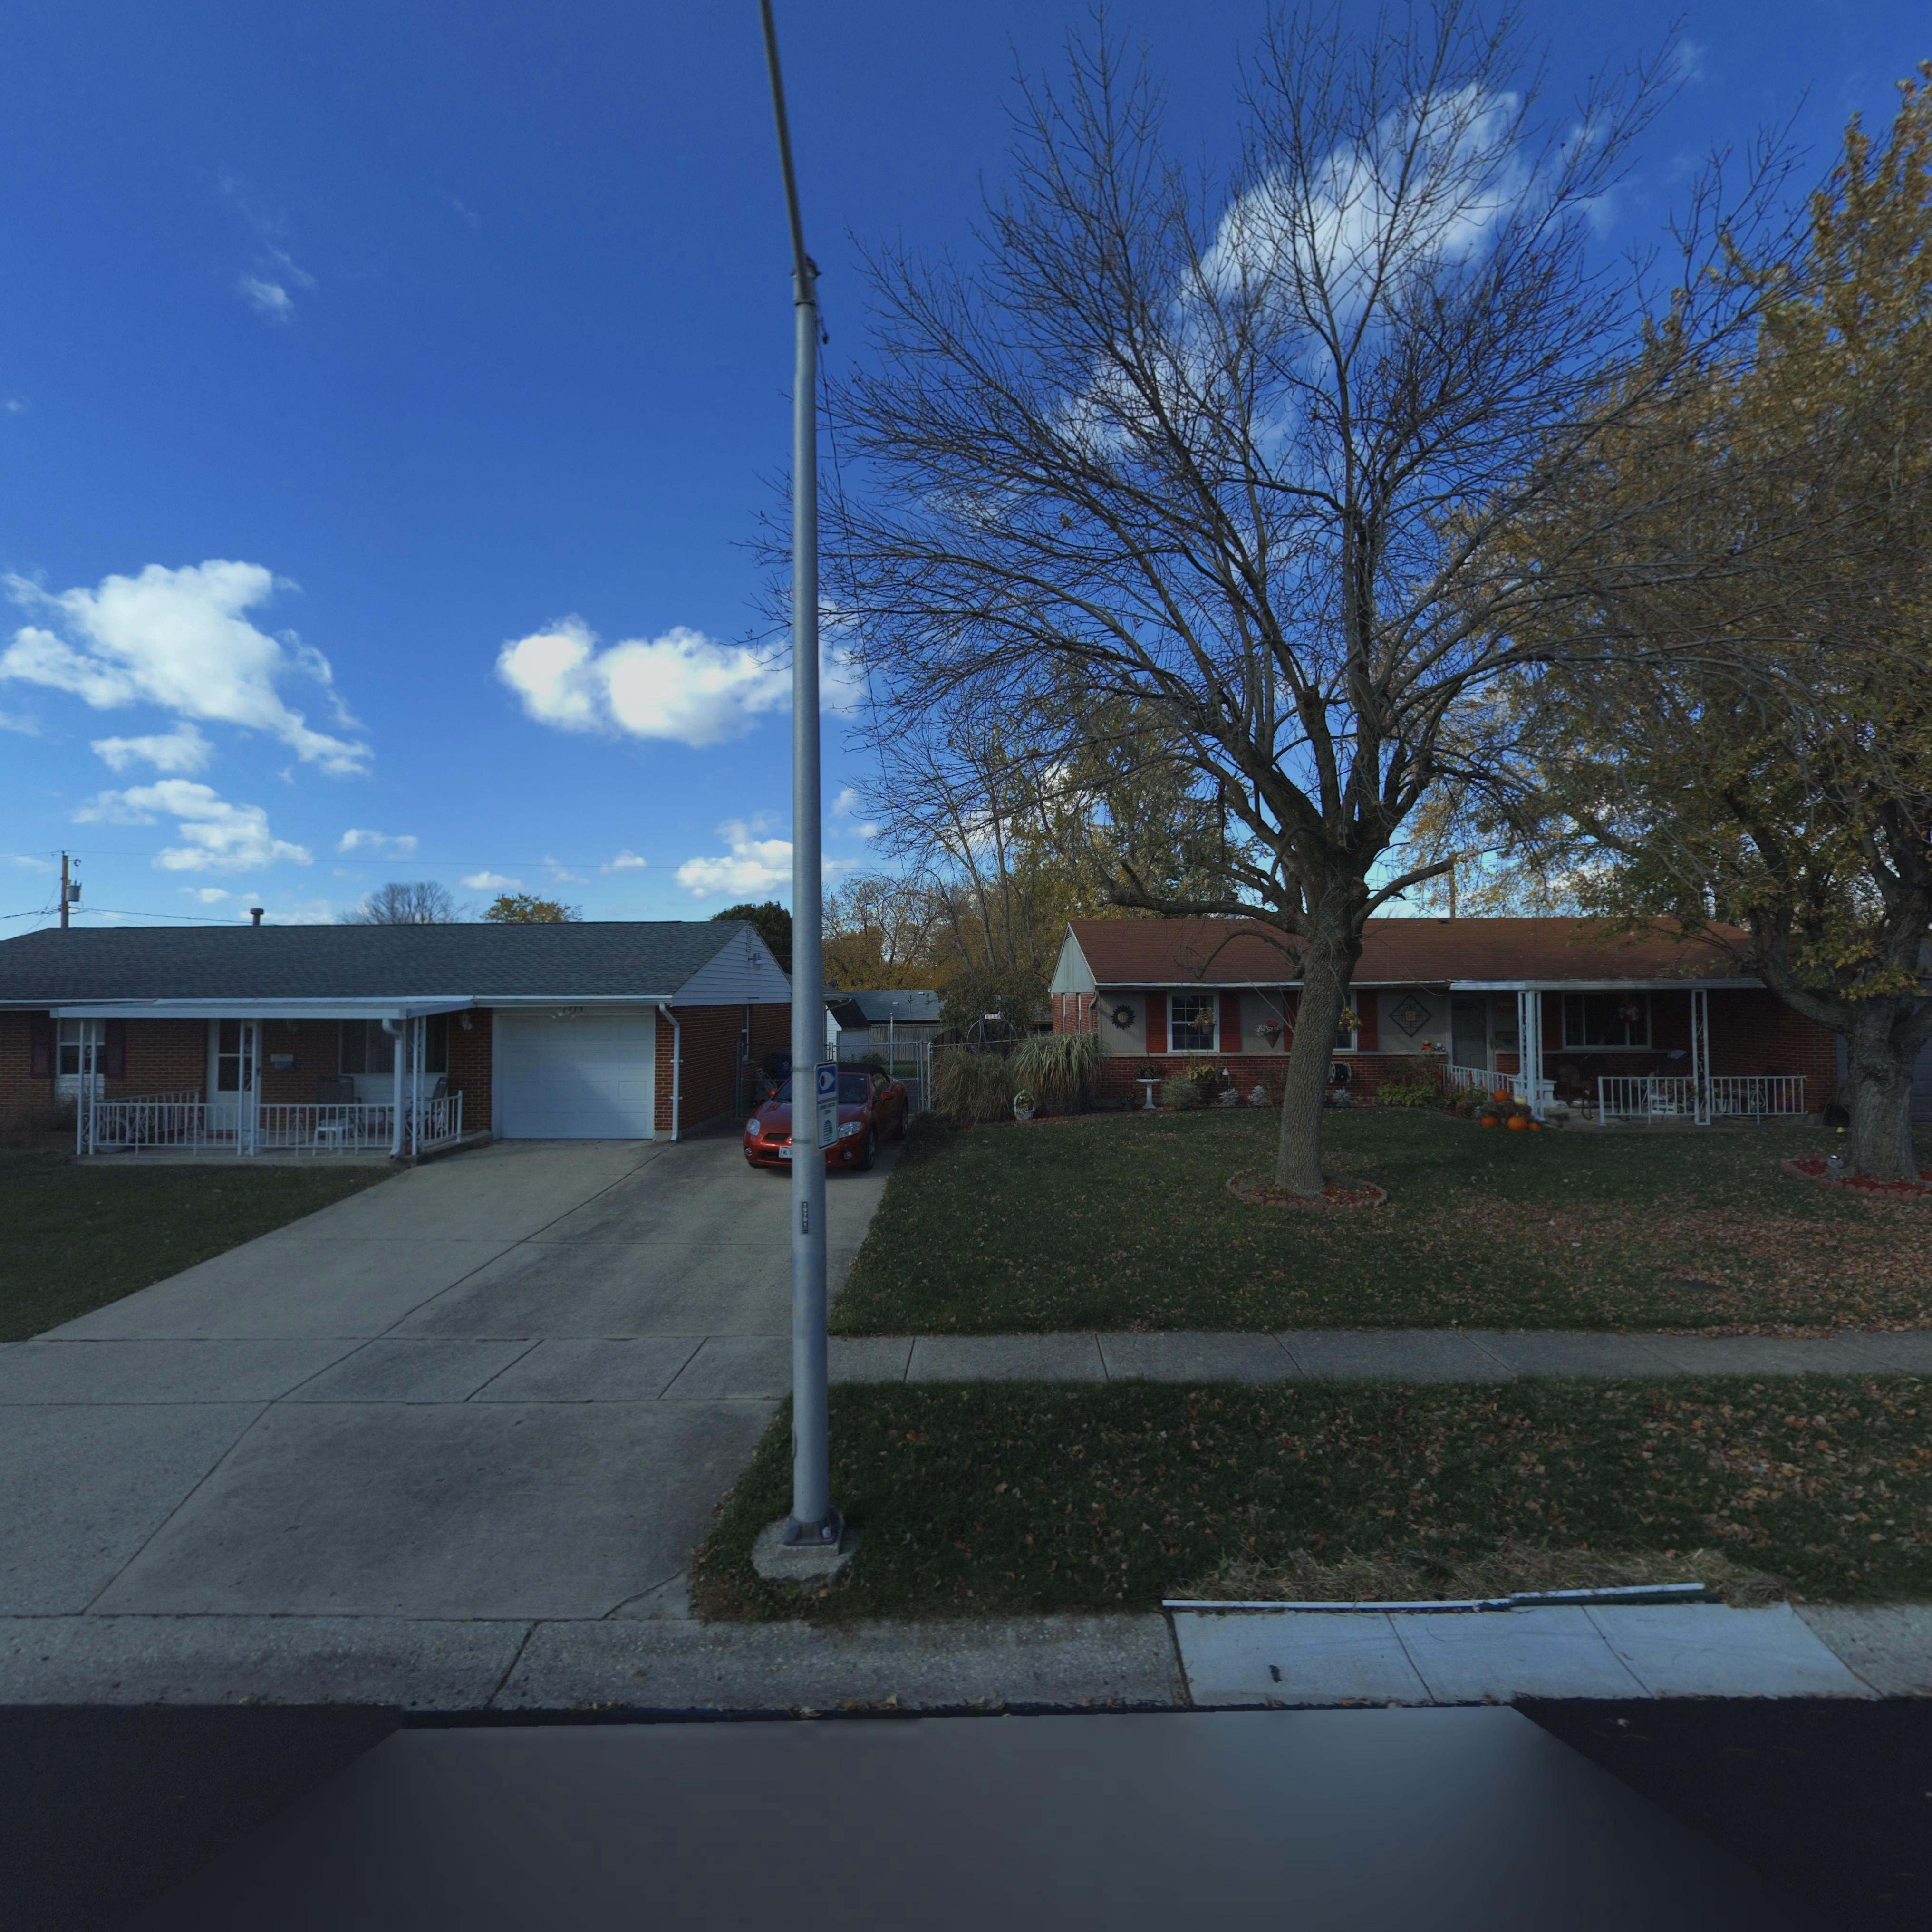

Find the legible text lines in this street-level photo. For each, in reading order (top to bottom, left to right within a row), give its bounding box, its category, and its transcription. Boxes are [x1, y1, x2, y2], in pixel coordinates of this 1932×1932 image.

[562, 1006, 583, 1013] StreetNumber: 7773